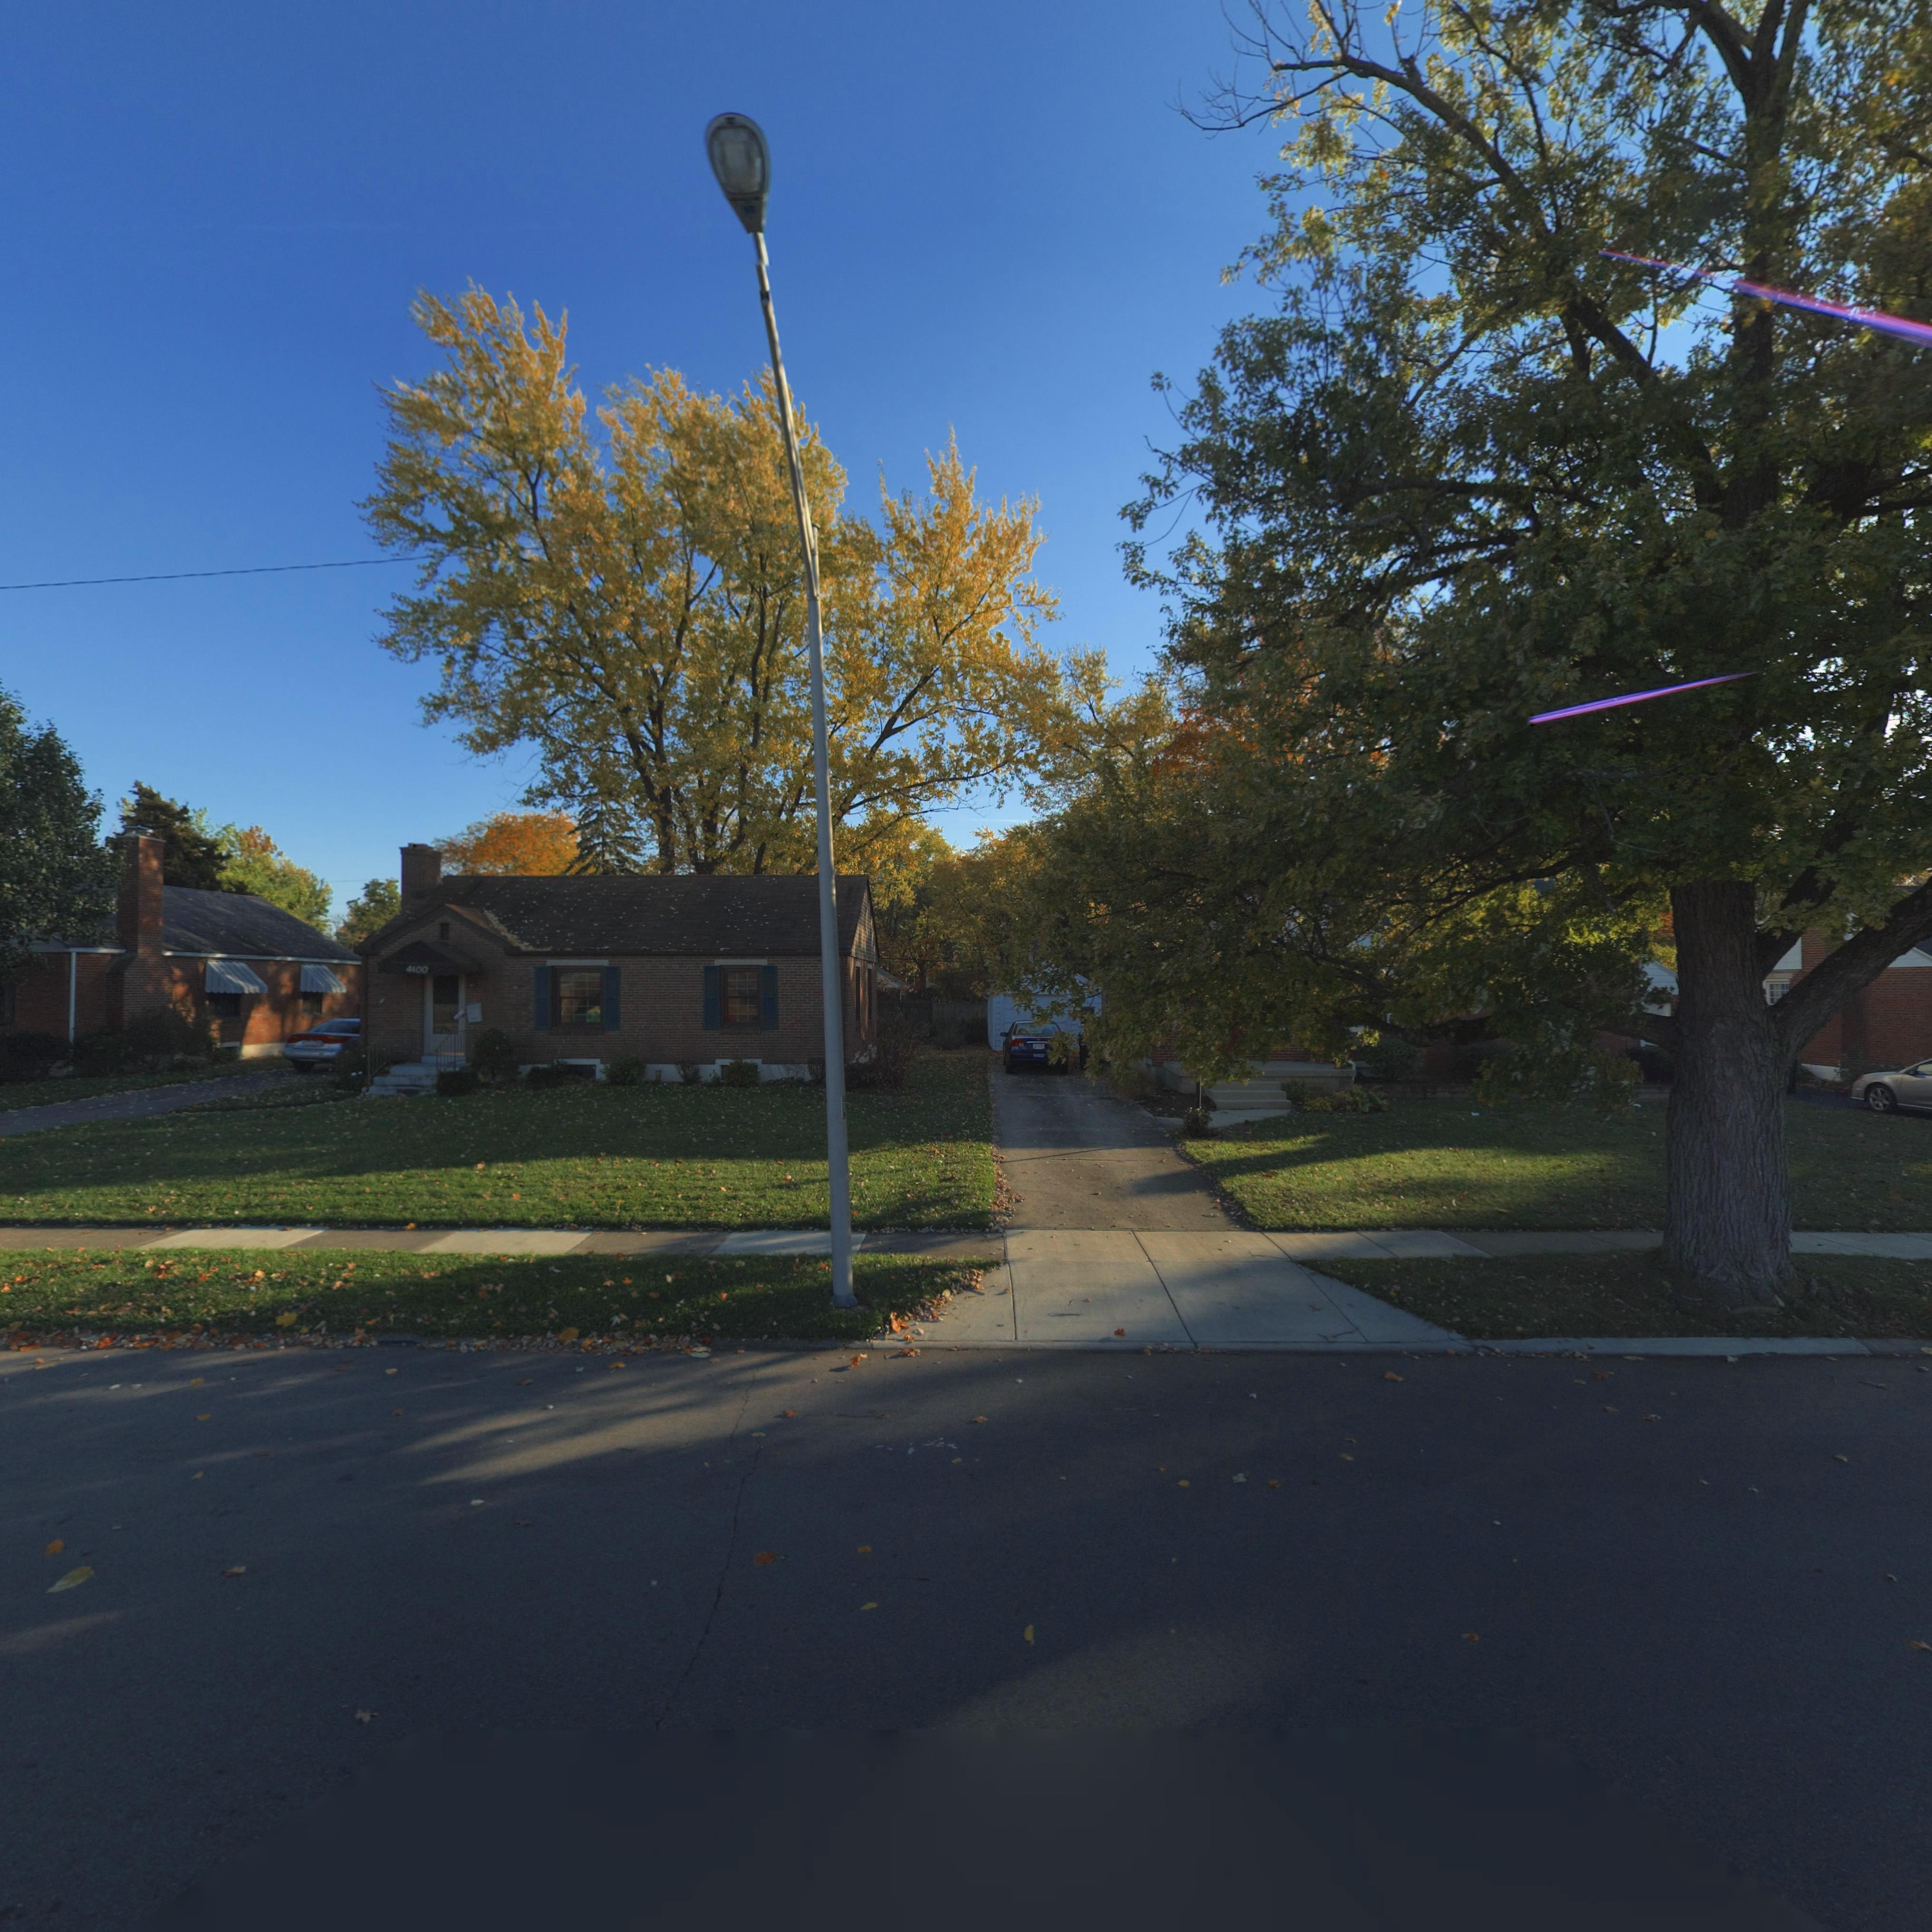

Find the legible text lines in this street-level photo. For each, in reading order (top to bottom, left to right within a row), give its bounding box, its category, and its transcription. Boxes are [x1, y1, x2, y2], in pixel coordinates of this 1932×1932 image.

[405, 964, 430, 975] StreetNumber: 4*00